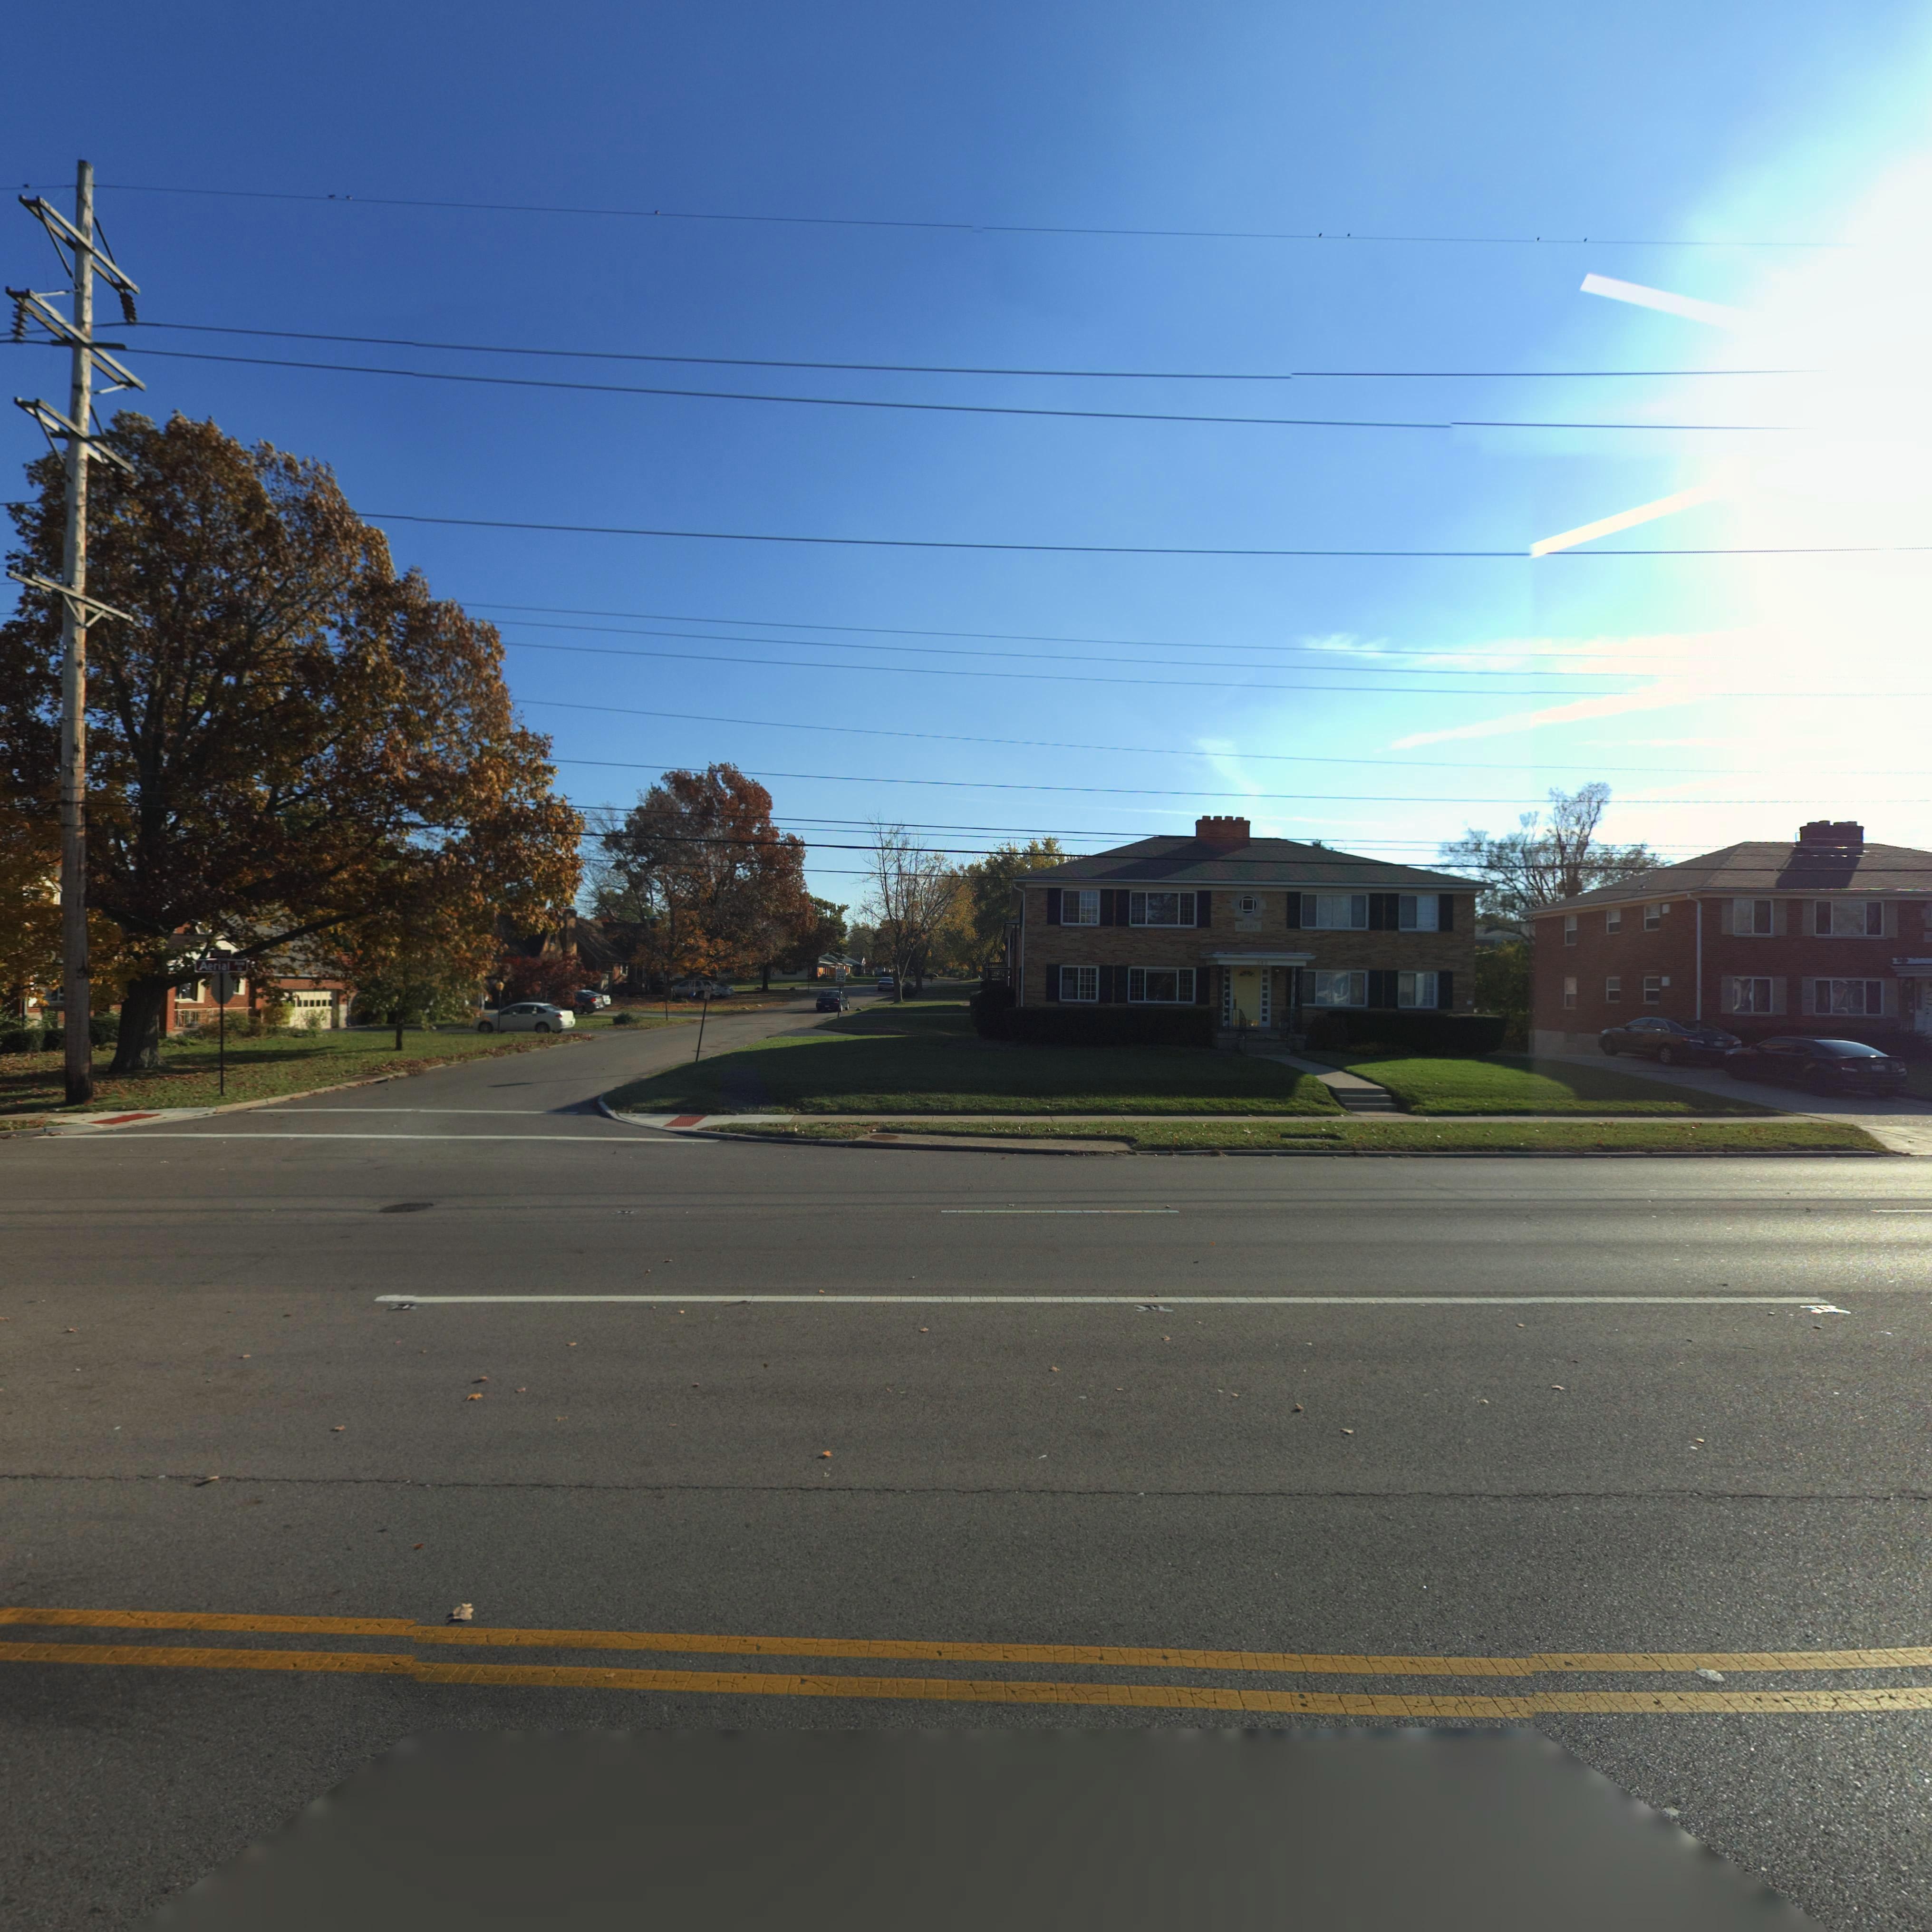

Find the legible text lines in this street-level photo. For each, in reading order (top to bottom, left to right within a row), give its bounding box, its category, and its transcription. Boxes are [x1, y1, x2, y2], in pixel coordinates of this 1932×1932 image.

[197, 960, 231, 971] StreetName: Aerial
[1256, 959, 1268, 966] StreetNumber: 542